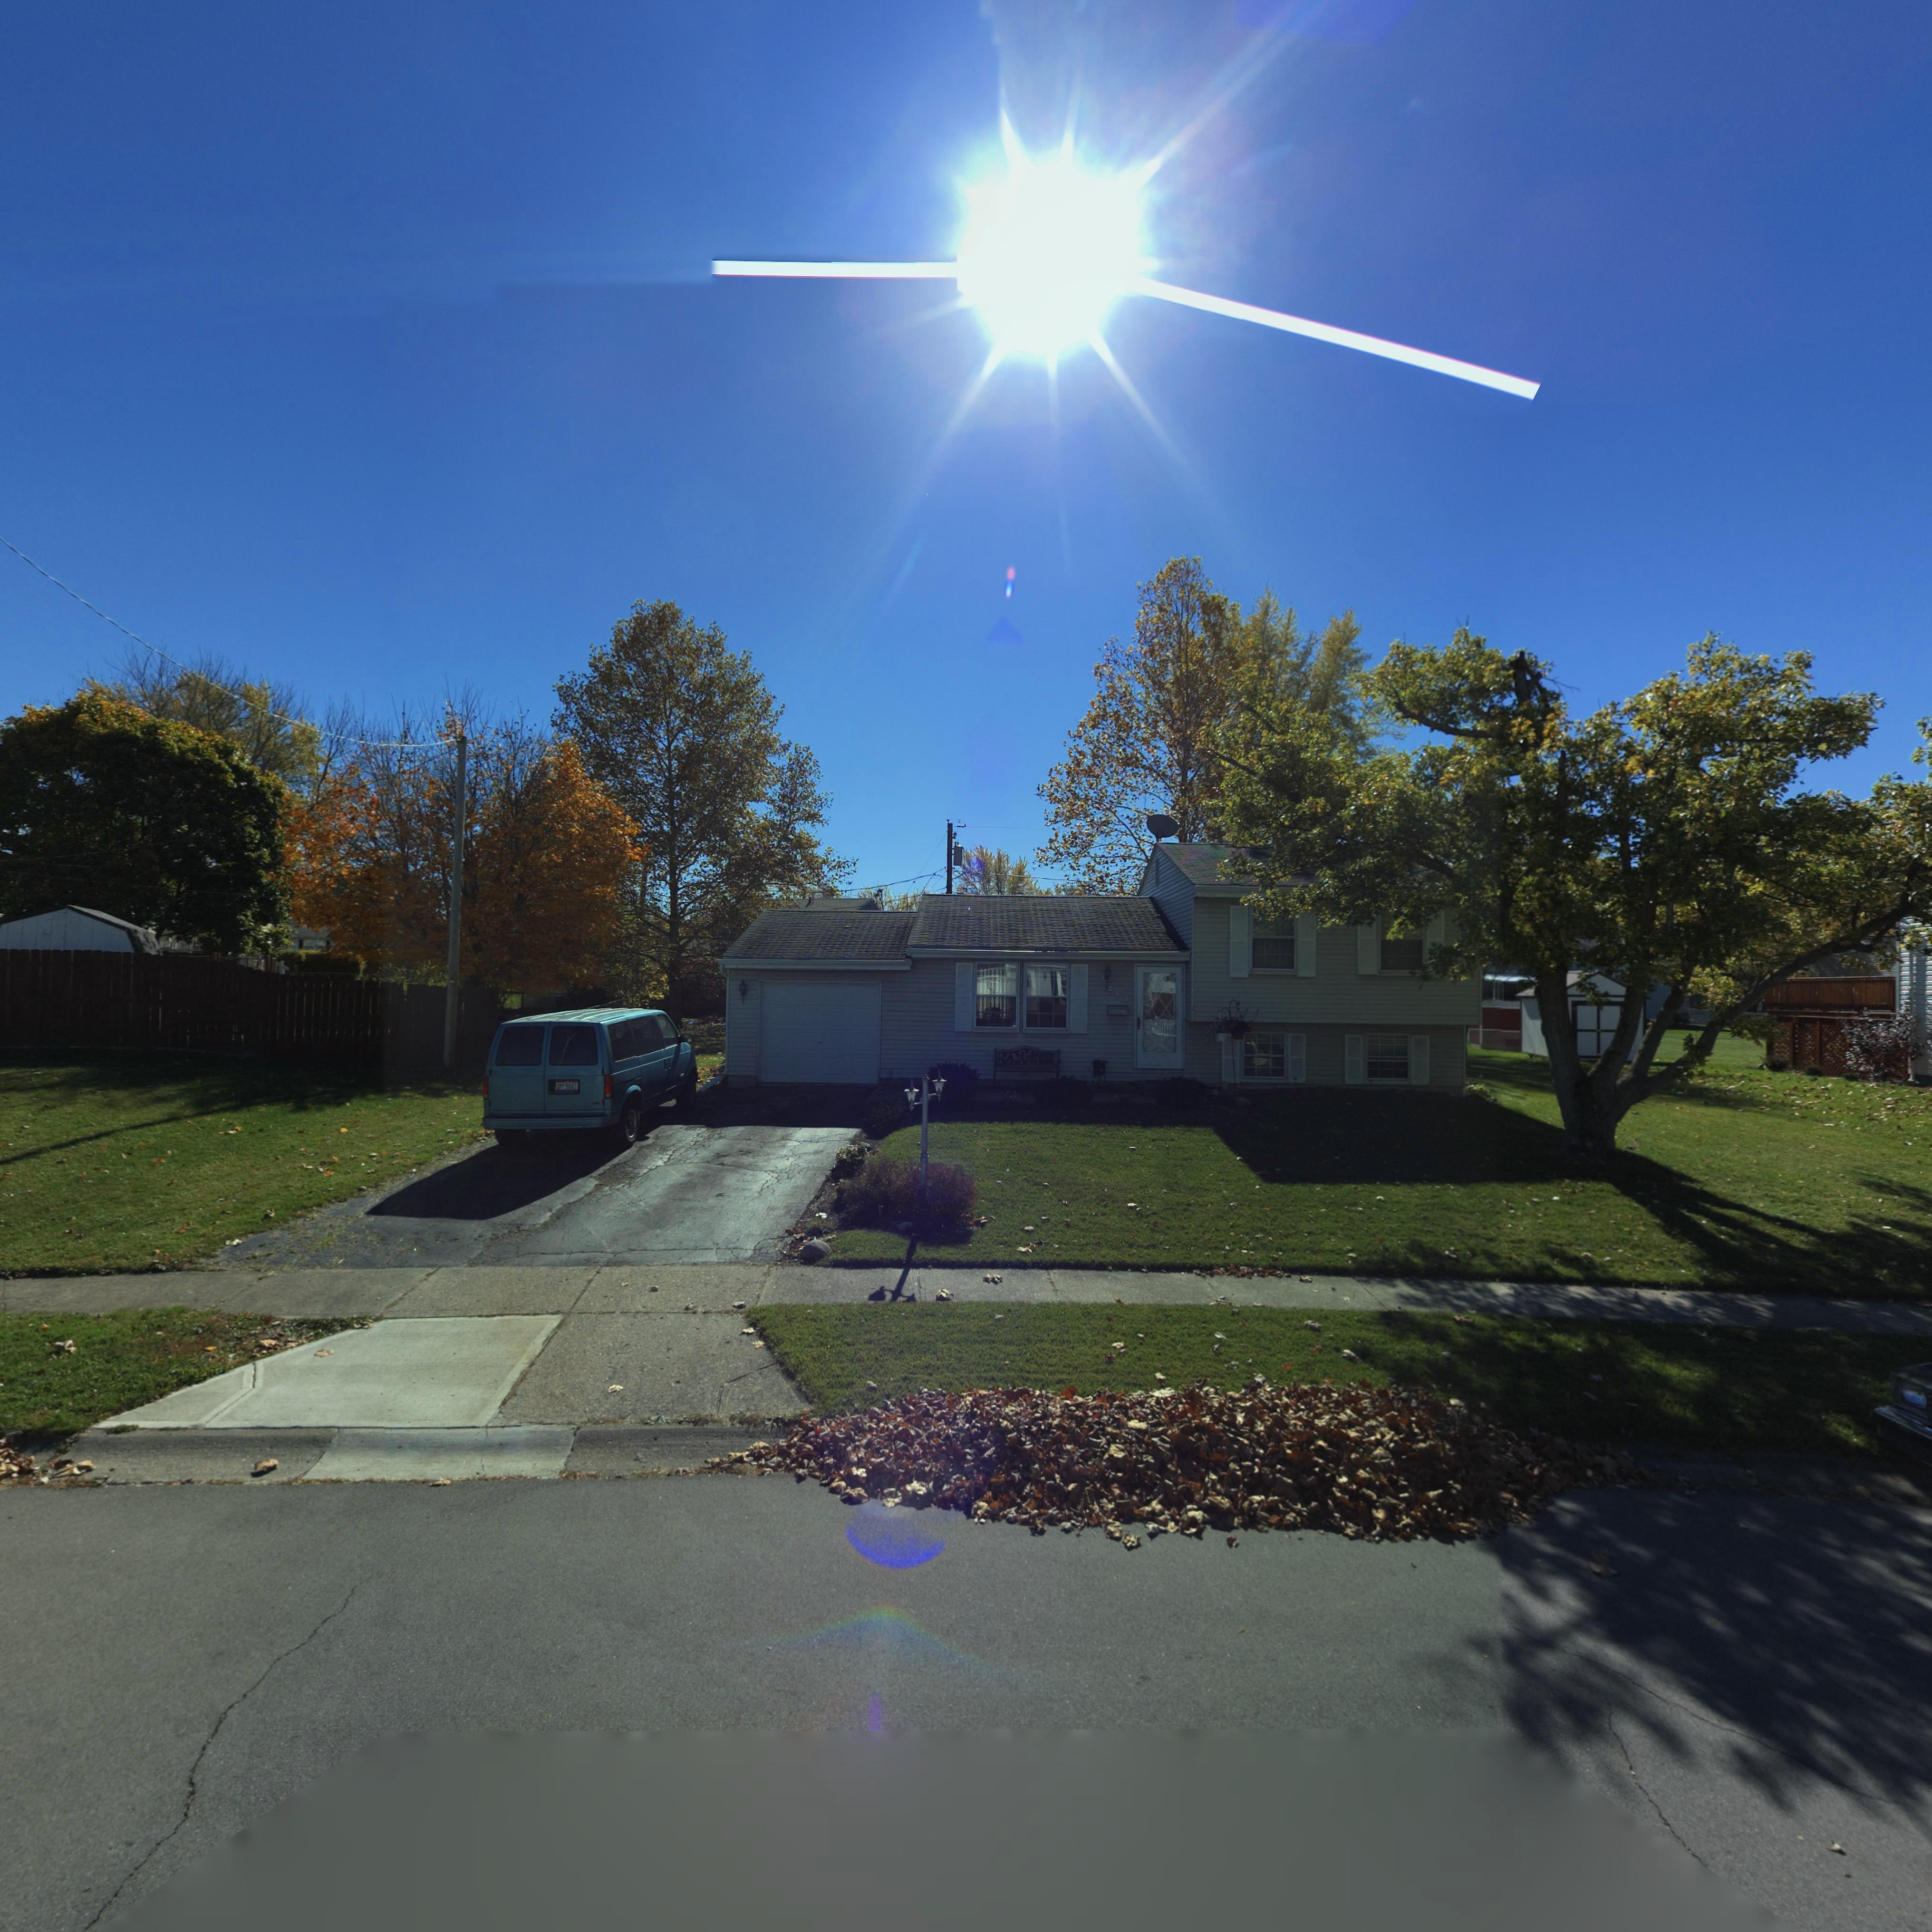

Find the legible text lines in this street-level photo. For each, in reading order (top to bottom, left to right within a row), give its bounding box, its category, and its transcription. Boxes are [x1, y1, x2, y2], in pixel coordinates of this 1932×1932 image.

[1107, 984, 1129, 1002] StreetNumber: 213